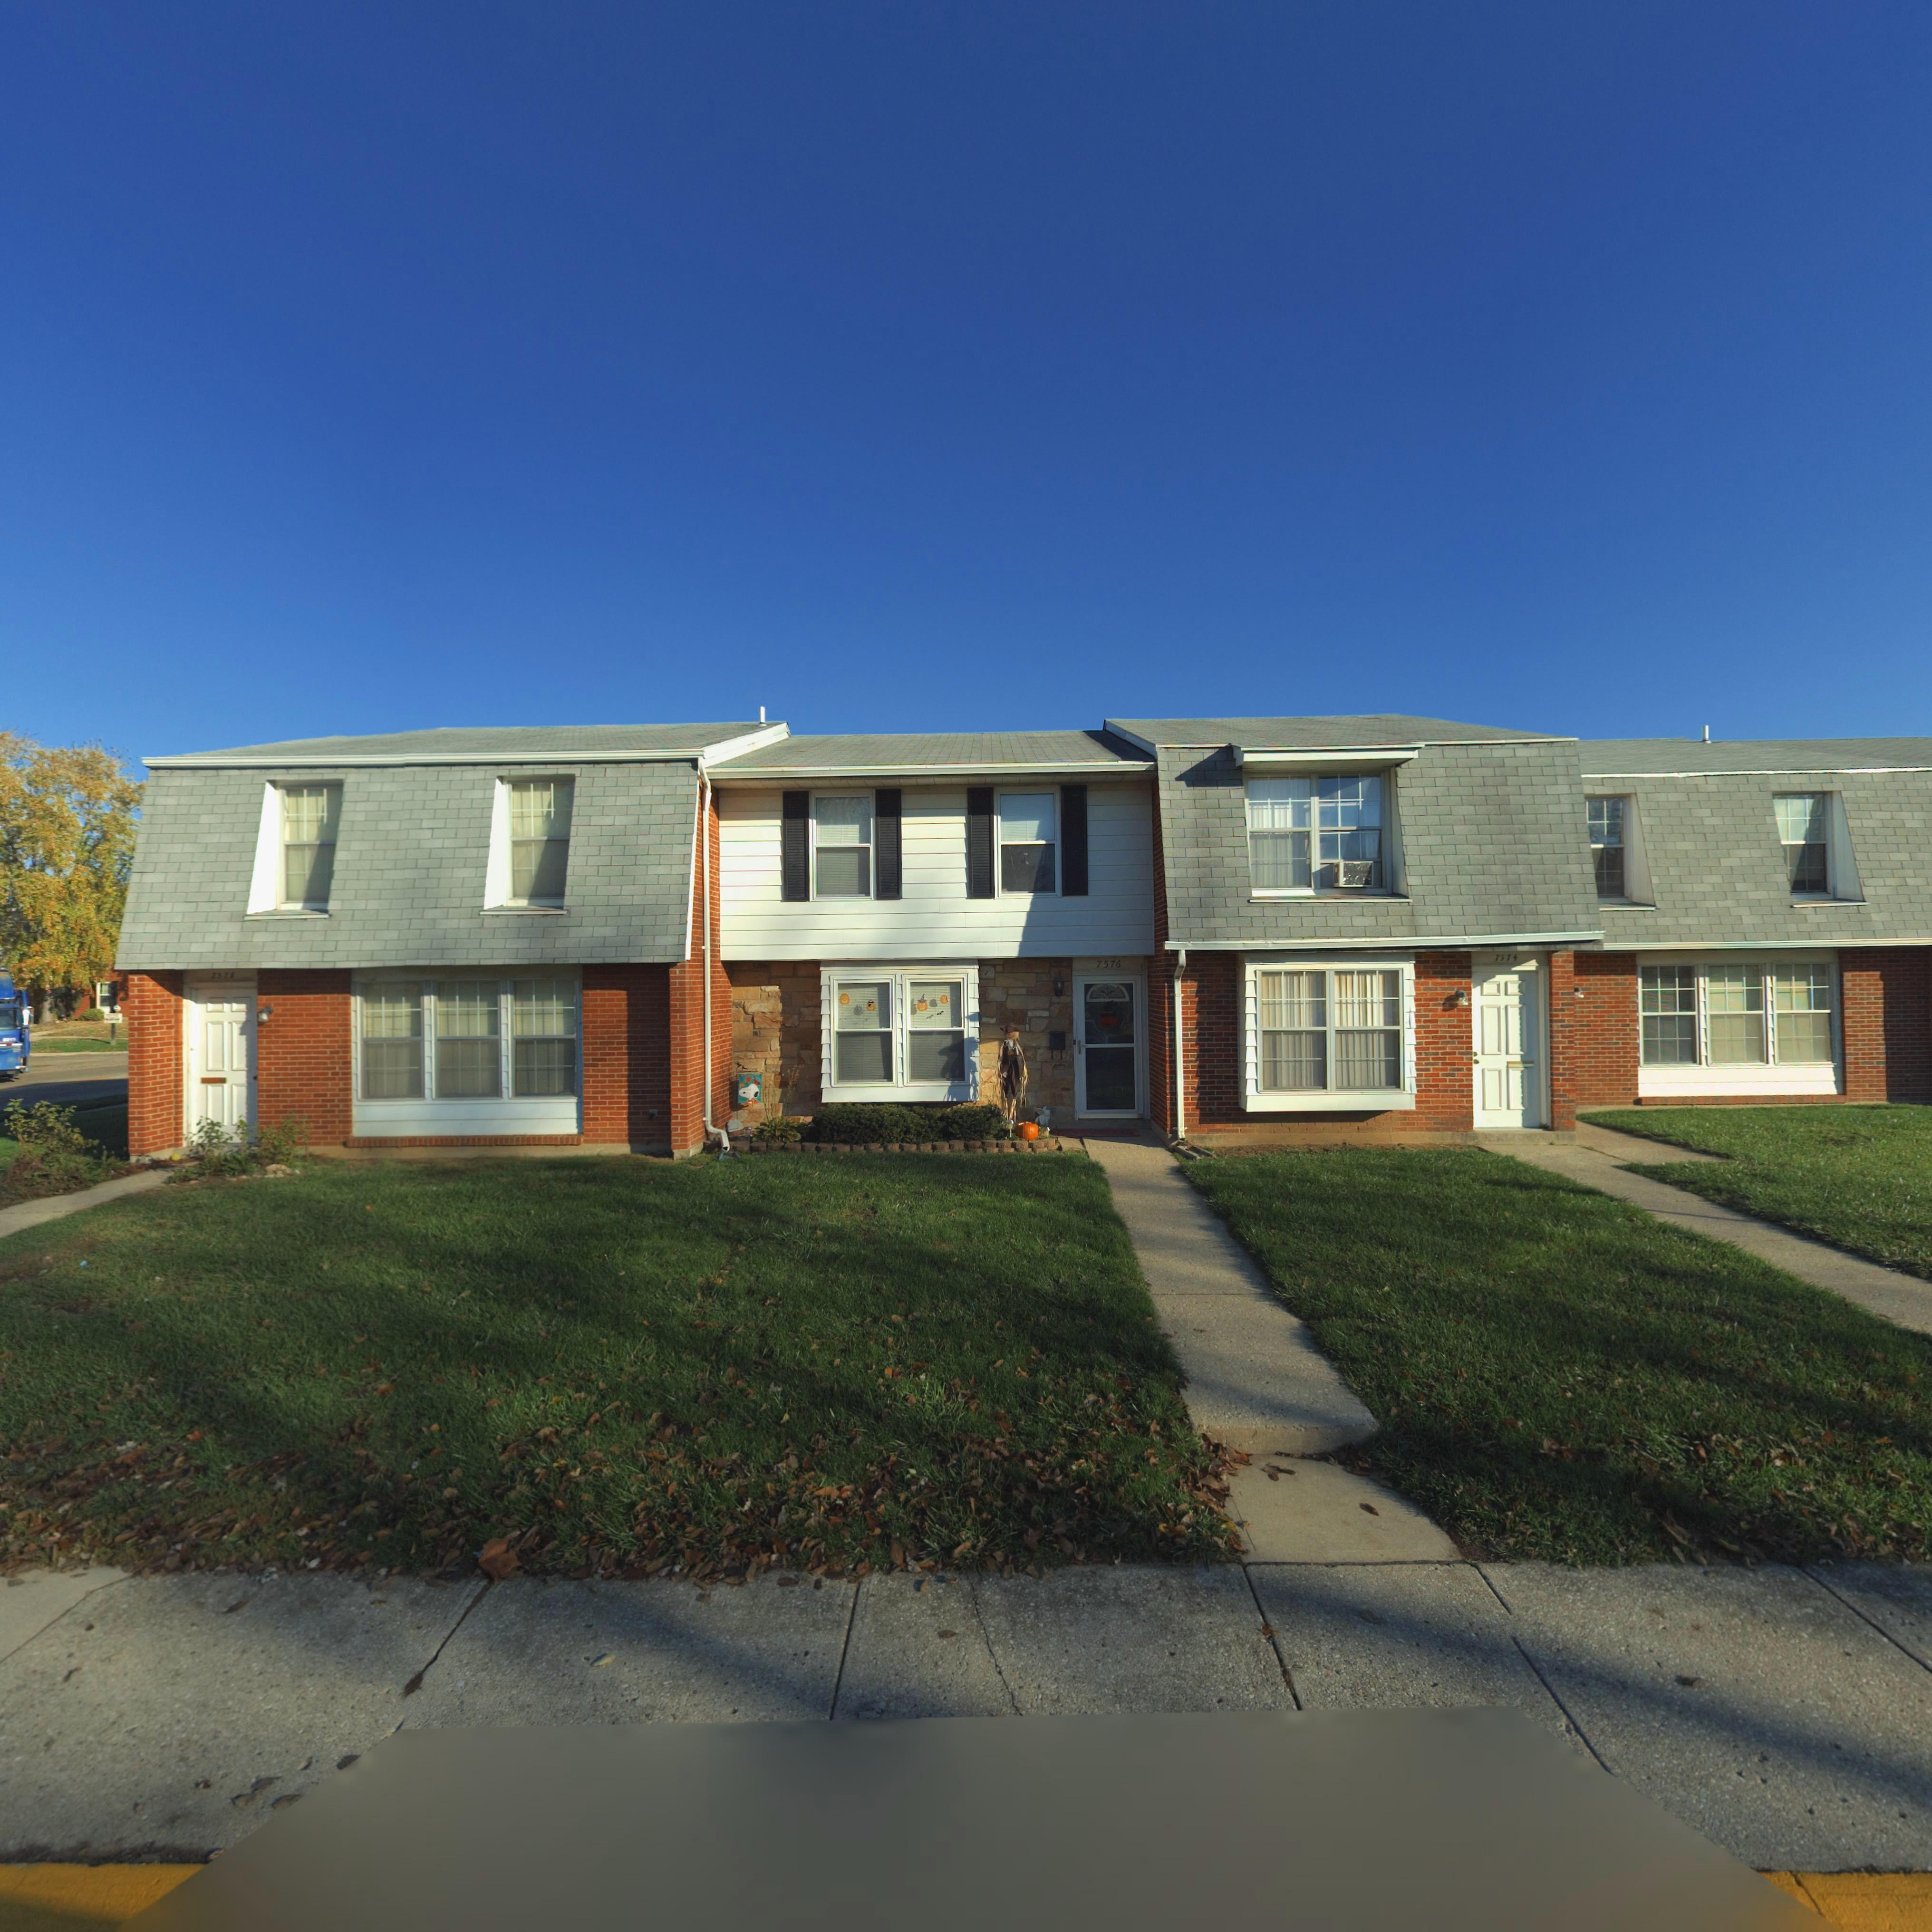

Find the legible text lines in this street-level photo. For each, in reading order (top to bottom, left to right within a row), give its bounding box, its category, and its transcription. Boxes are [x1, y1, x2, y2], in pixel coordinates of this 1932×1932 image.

[1494, 953, 1519, 962] StreetNumber: 7574
[1096, 959, 1122, 969] StreetNumber: 7576
[210, 970, 237, 981] StreetNumber: 757*